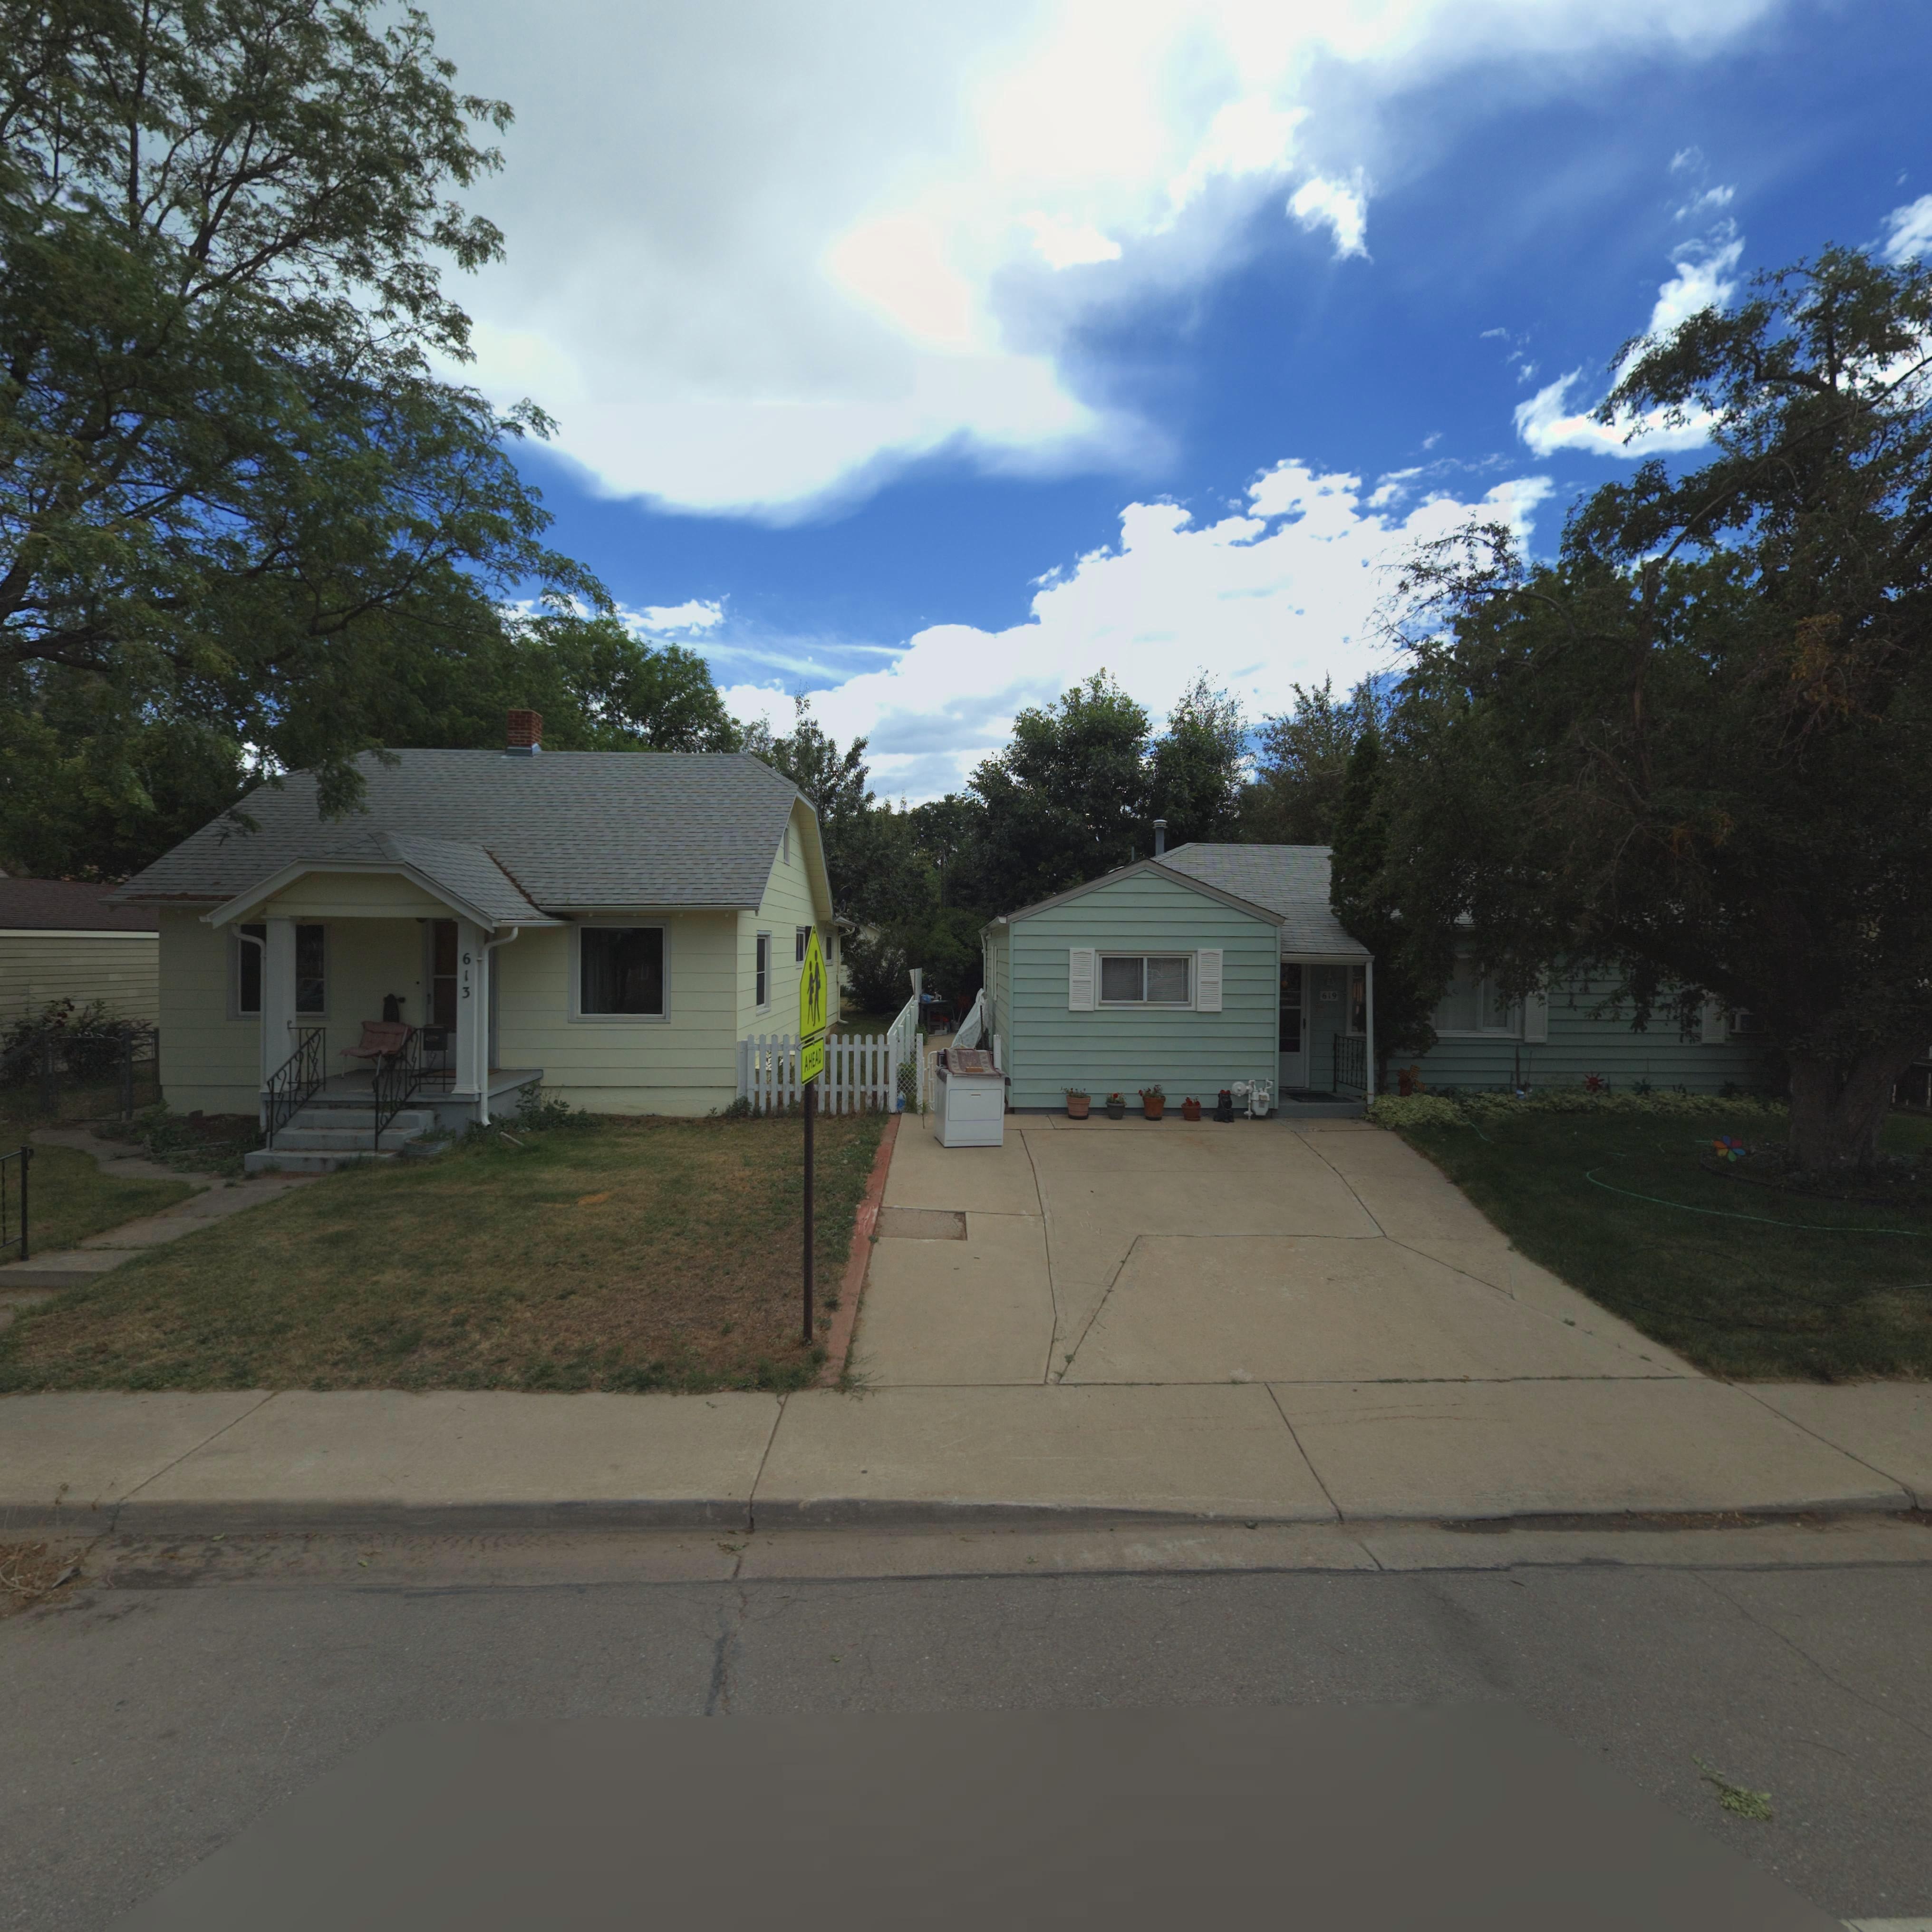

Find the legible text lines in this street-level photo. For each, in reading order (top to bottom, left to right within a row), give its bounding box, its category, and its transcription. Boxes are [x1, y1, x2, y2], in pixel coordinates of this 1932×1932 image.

[461, 951, 471, 999] StreetNumber: 613
[1321, 992, 1336, 999] StreetNumber: 619